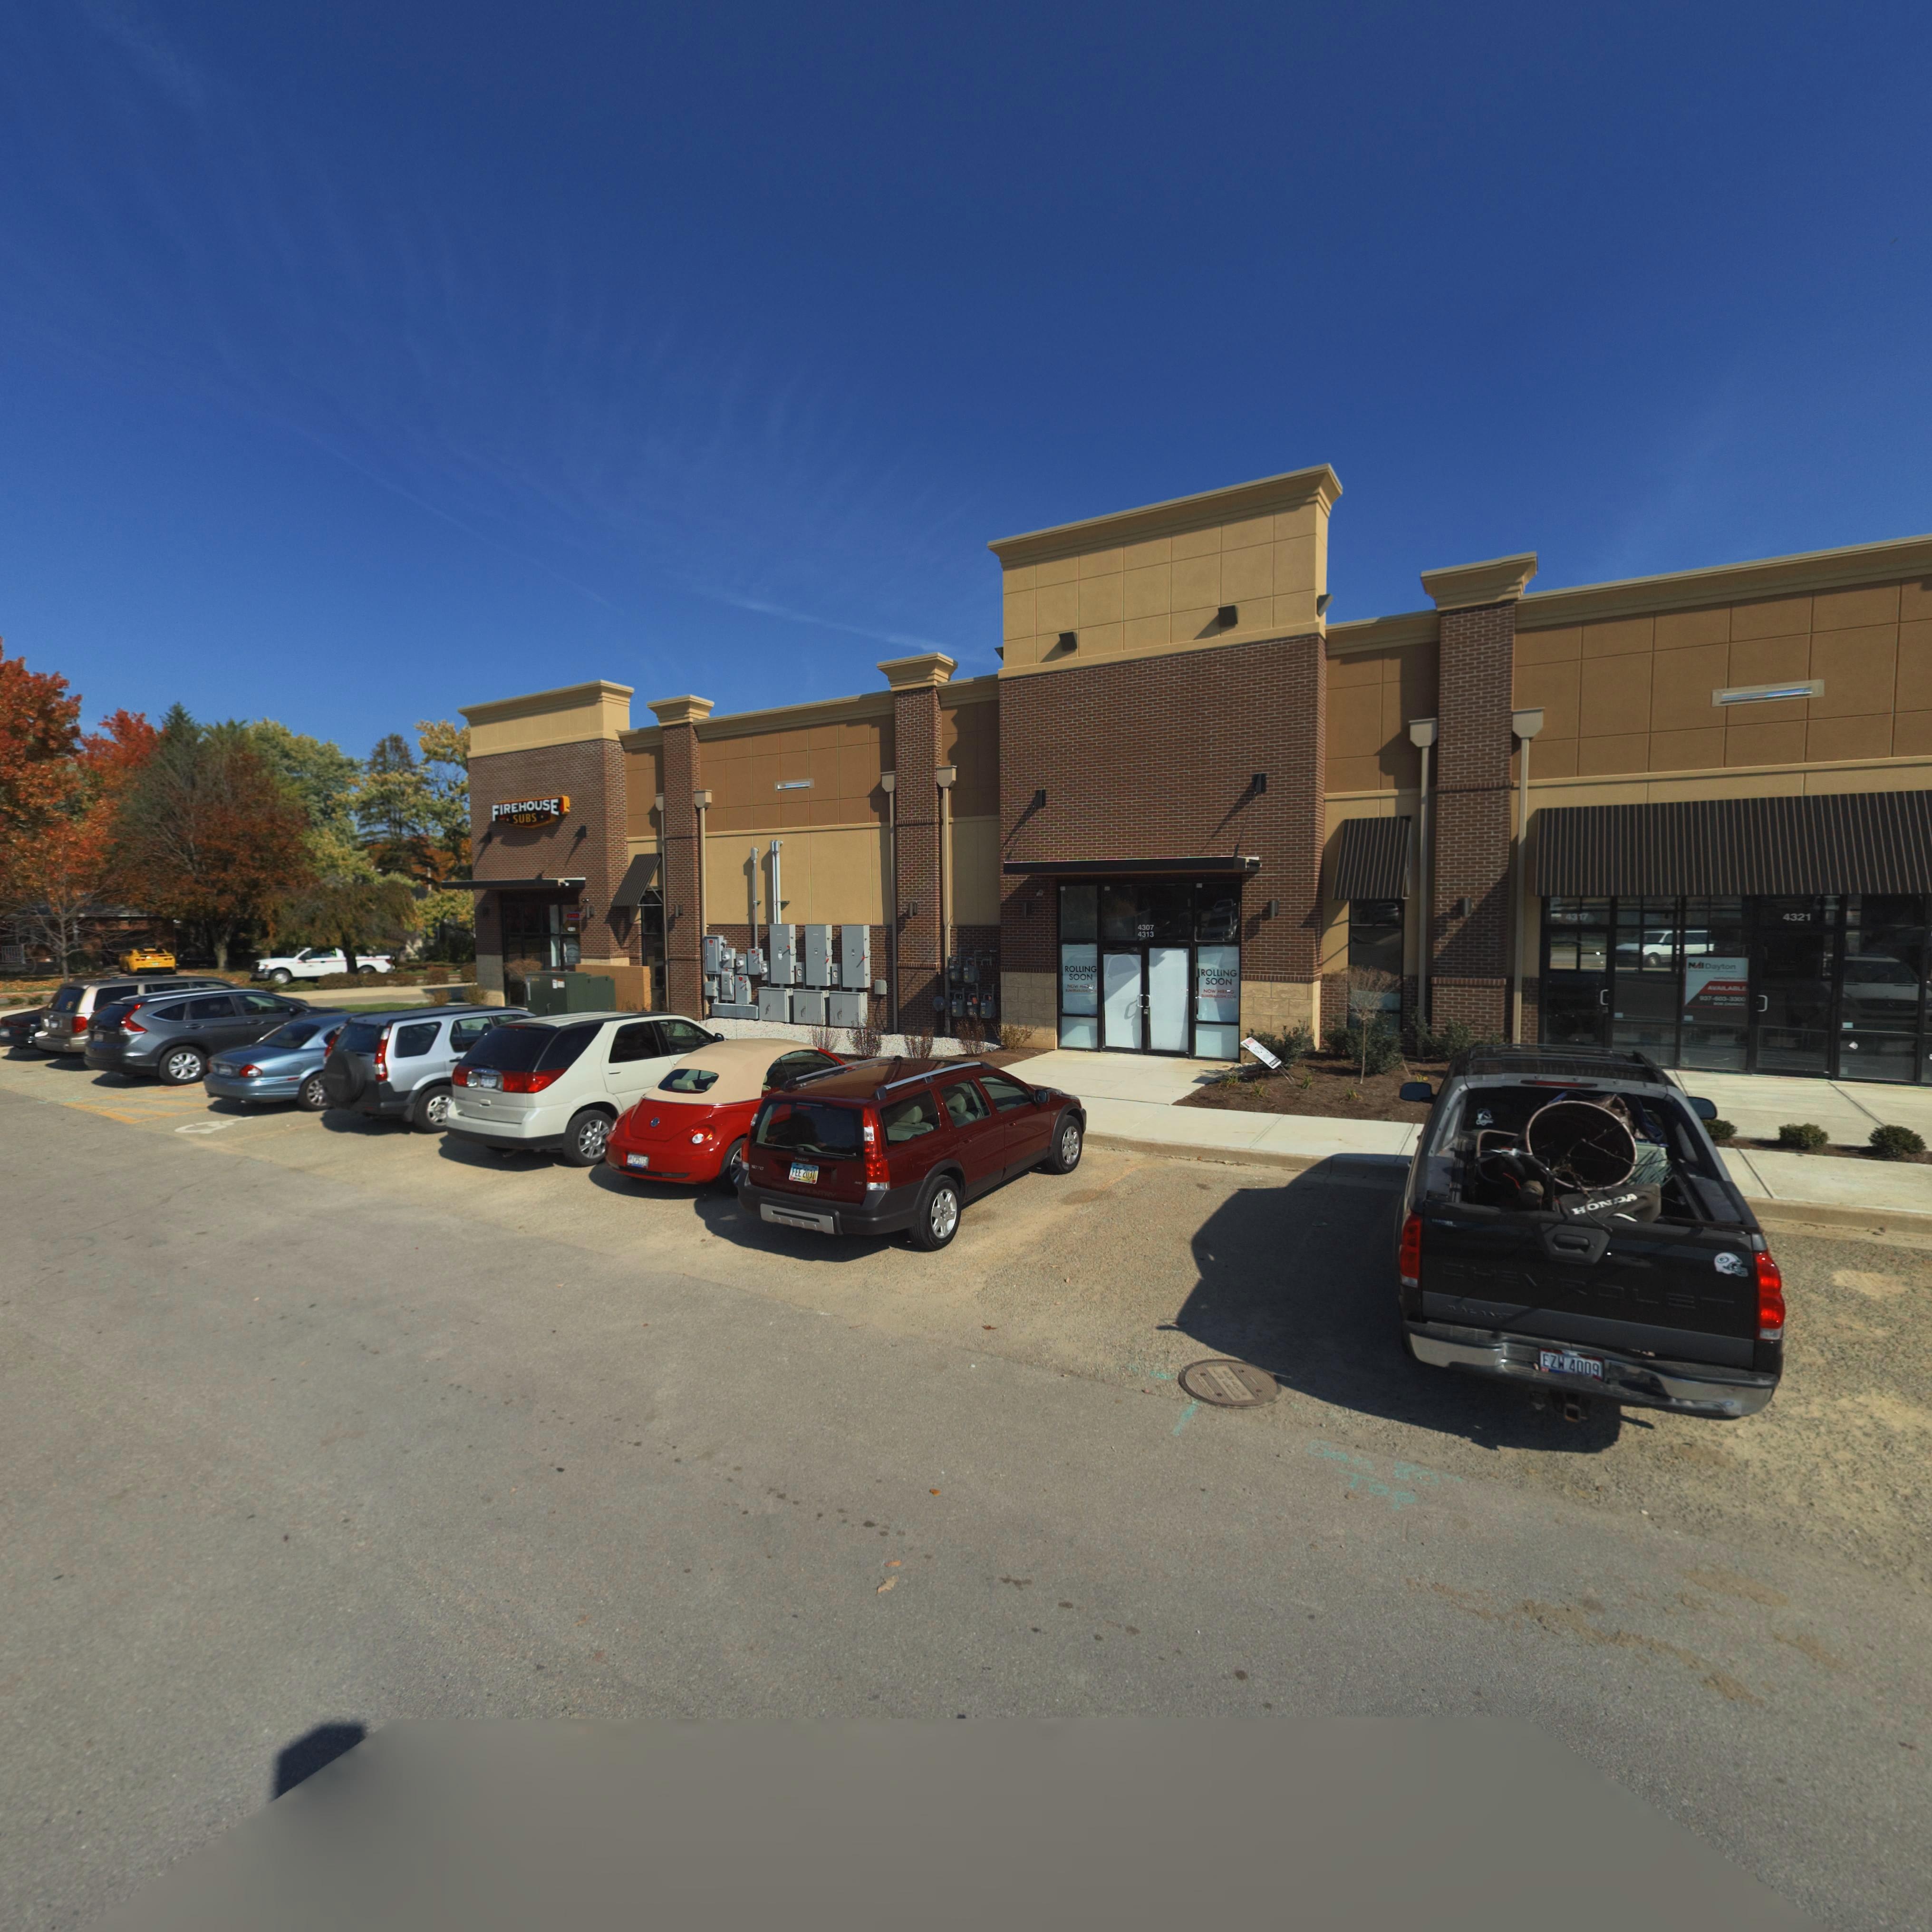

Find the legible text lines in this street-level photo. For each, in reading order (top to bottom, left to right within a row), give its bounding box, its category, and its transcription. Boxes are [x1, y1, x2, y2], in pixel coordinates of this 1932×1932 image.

[491, 797, 560, 823] None: FIREHOUSE
[512, 811, 538, 825] None: SUBS
[1782, 912, 1812, 922] None: 4321
[1136, 923, 1156, 931] None: 4307
[1136, 930, 1156, 939] None: 4313